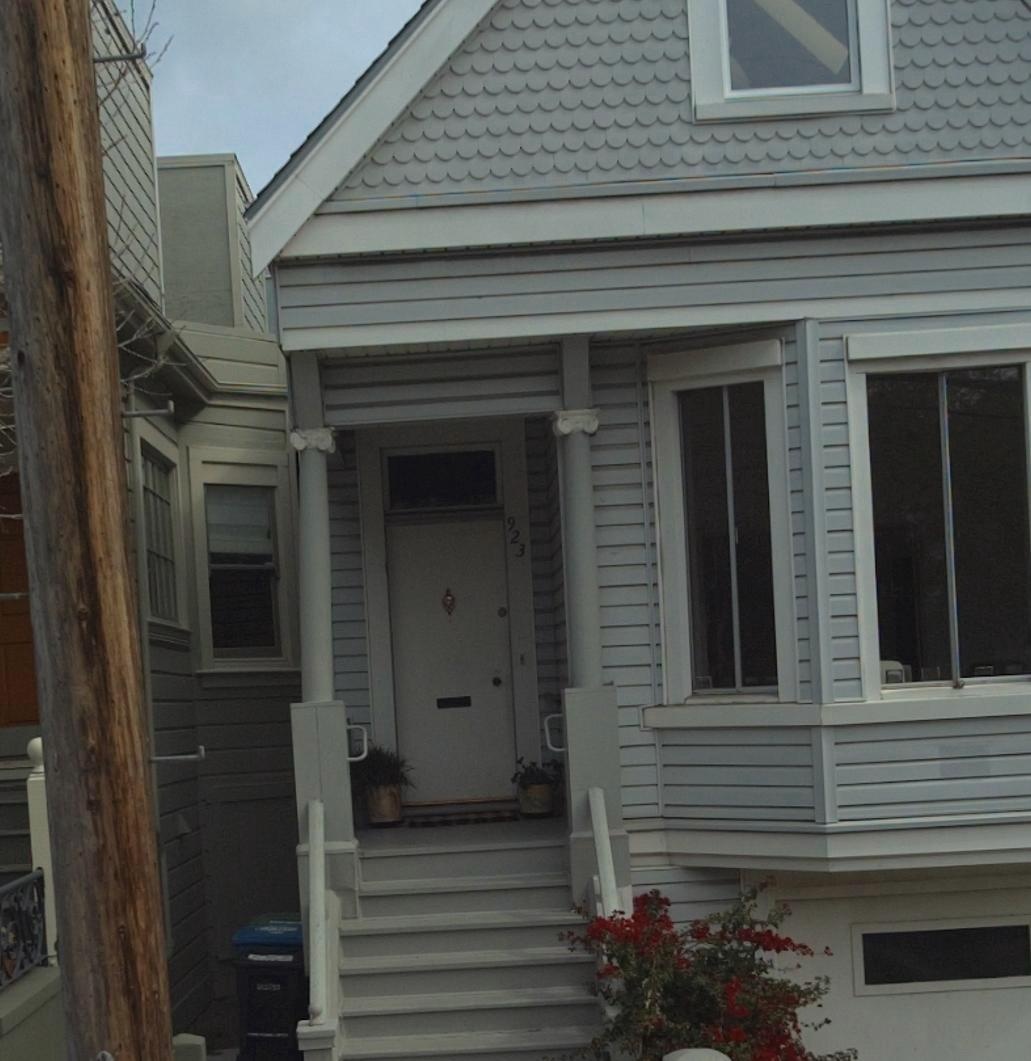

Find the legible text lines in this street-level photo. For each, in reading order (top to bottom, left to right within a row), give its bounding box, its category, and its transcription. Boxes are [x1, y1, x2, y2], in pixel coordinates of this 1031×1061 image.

[504, 516, 530, 559] StreetNumber: 923